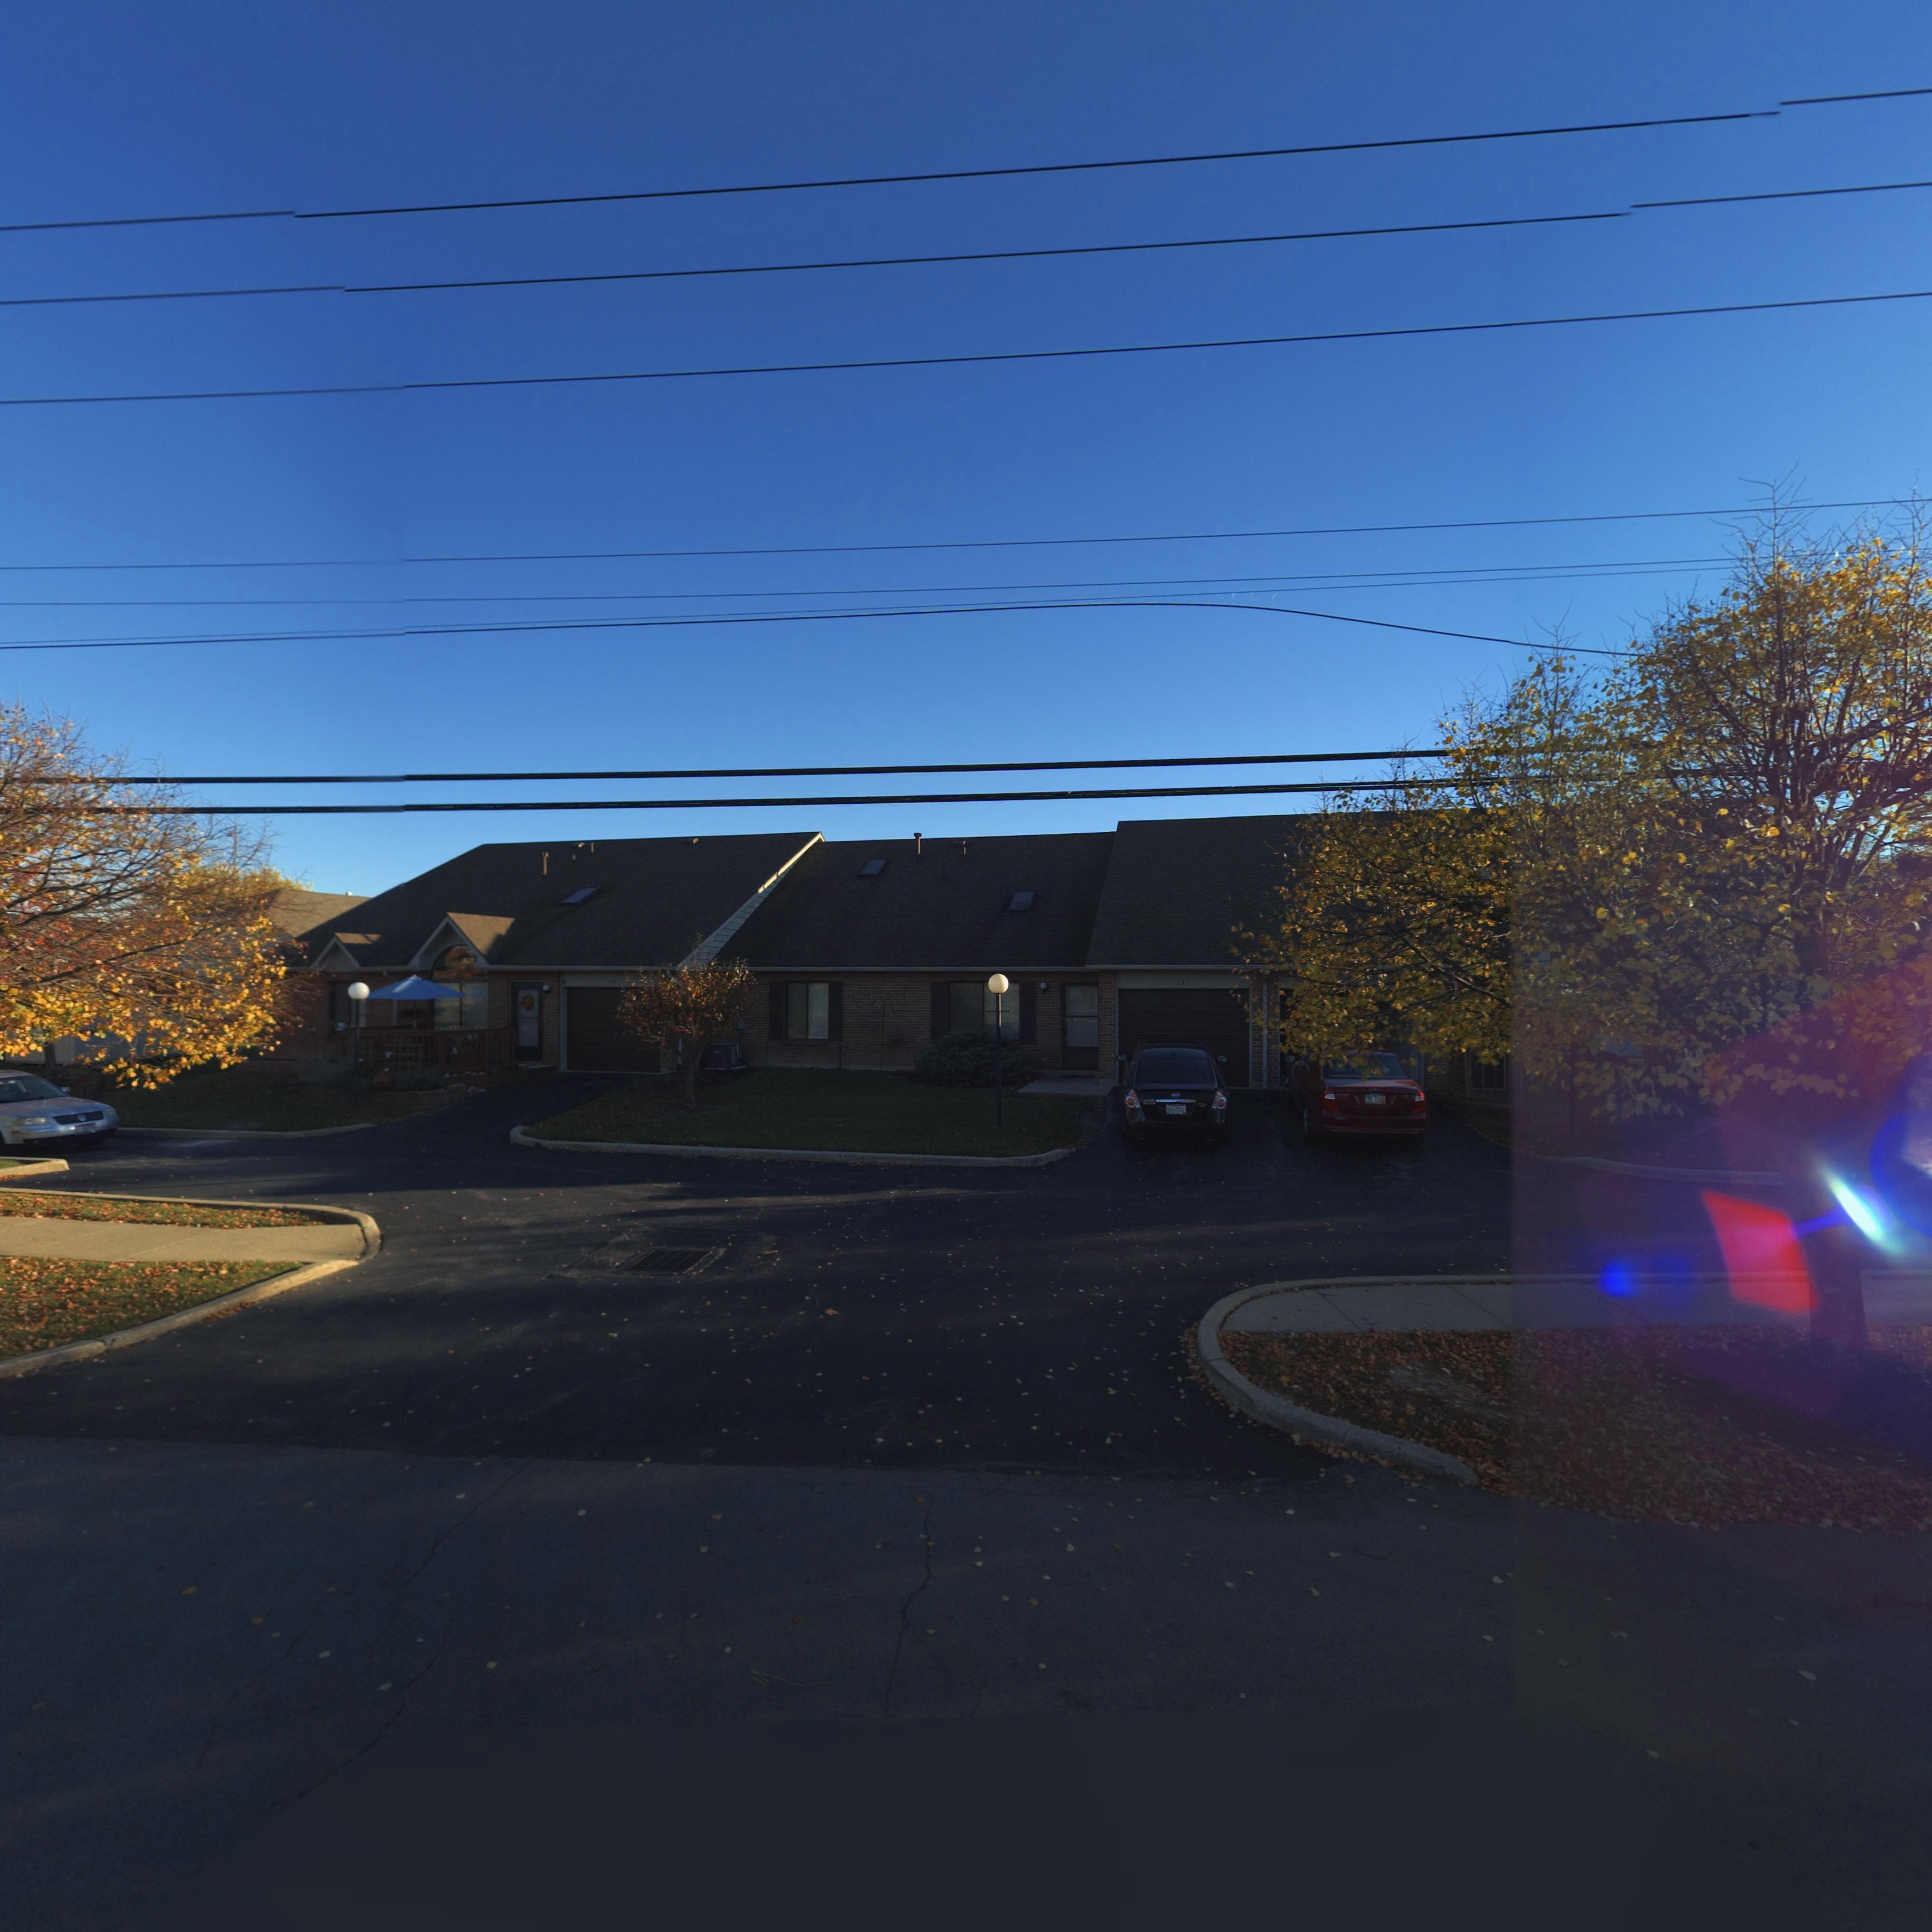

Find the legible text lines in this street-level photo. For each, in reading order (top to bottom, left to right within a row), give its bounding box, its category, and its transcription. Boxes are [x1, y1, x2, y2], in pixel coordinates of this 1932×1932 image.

[1176, 980, 1190, 987] StreetNumber: 151